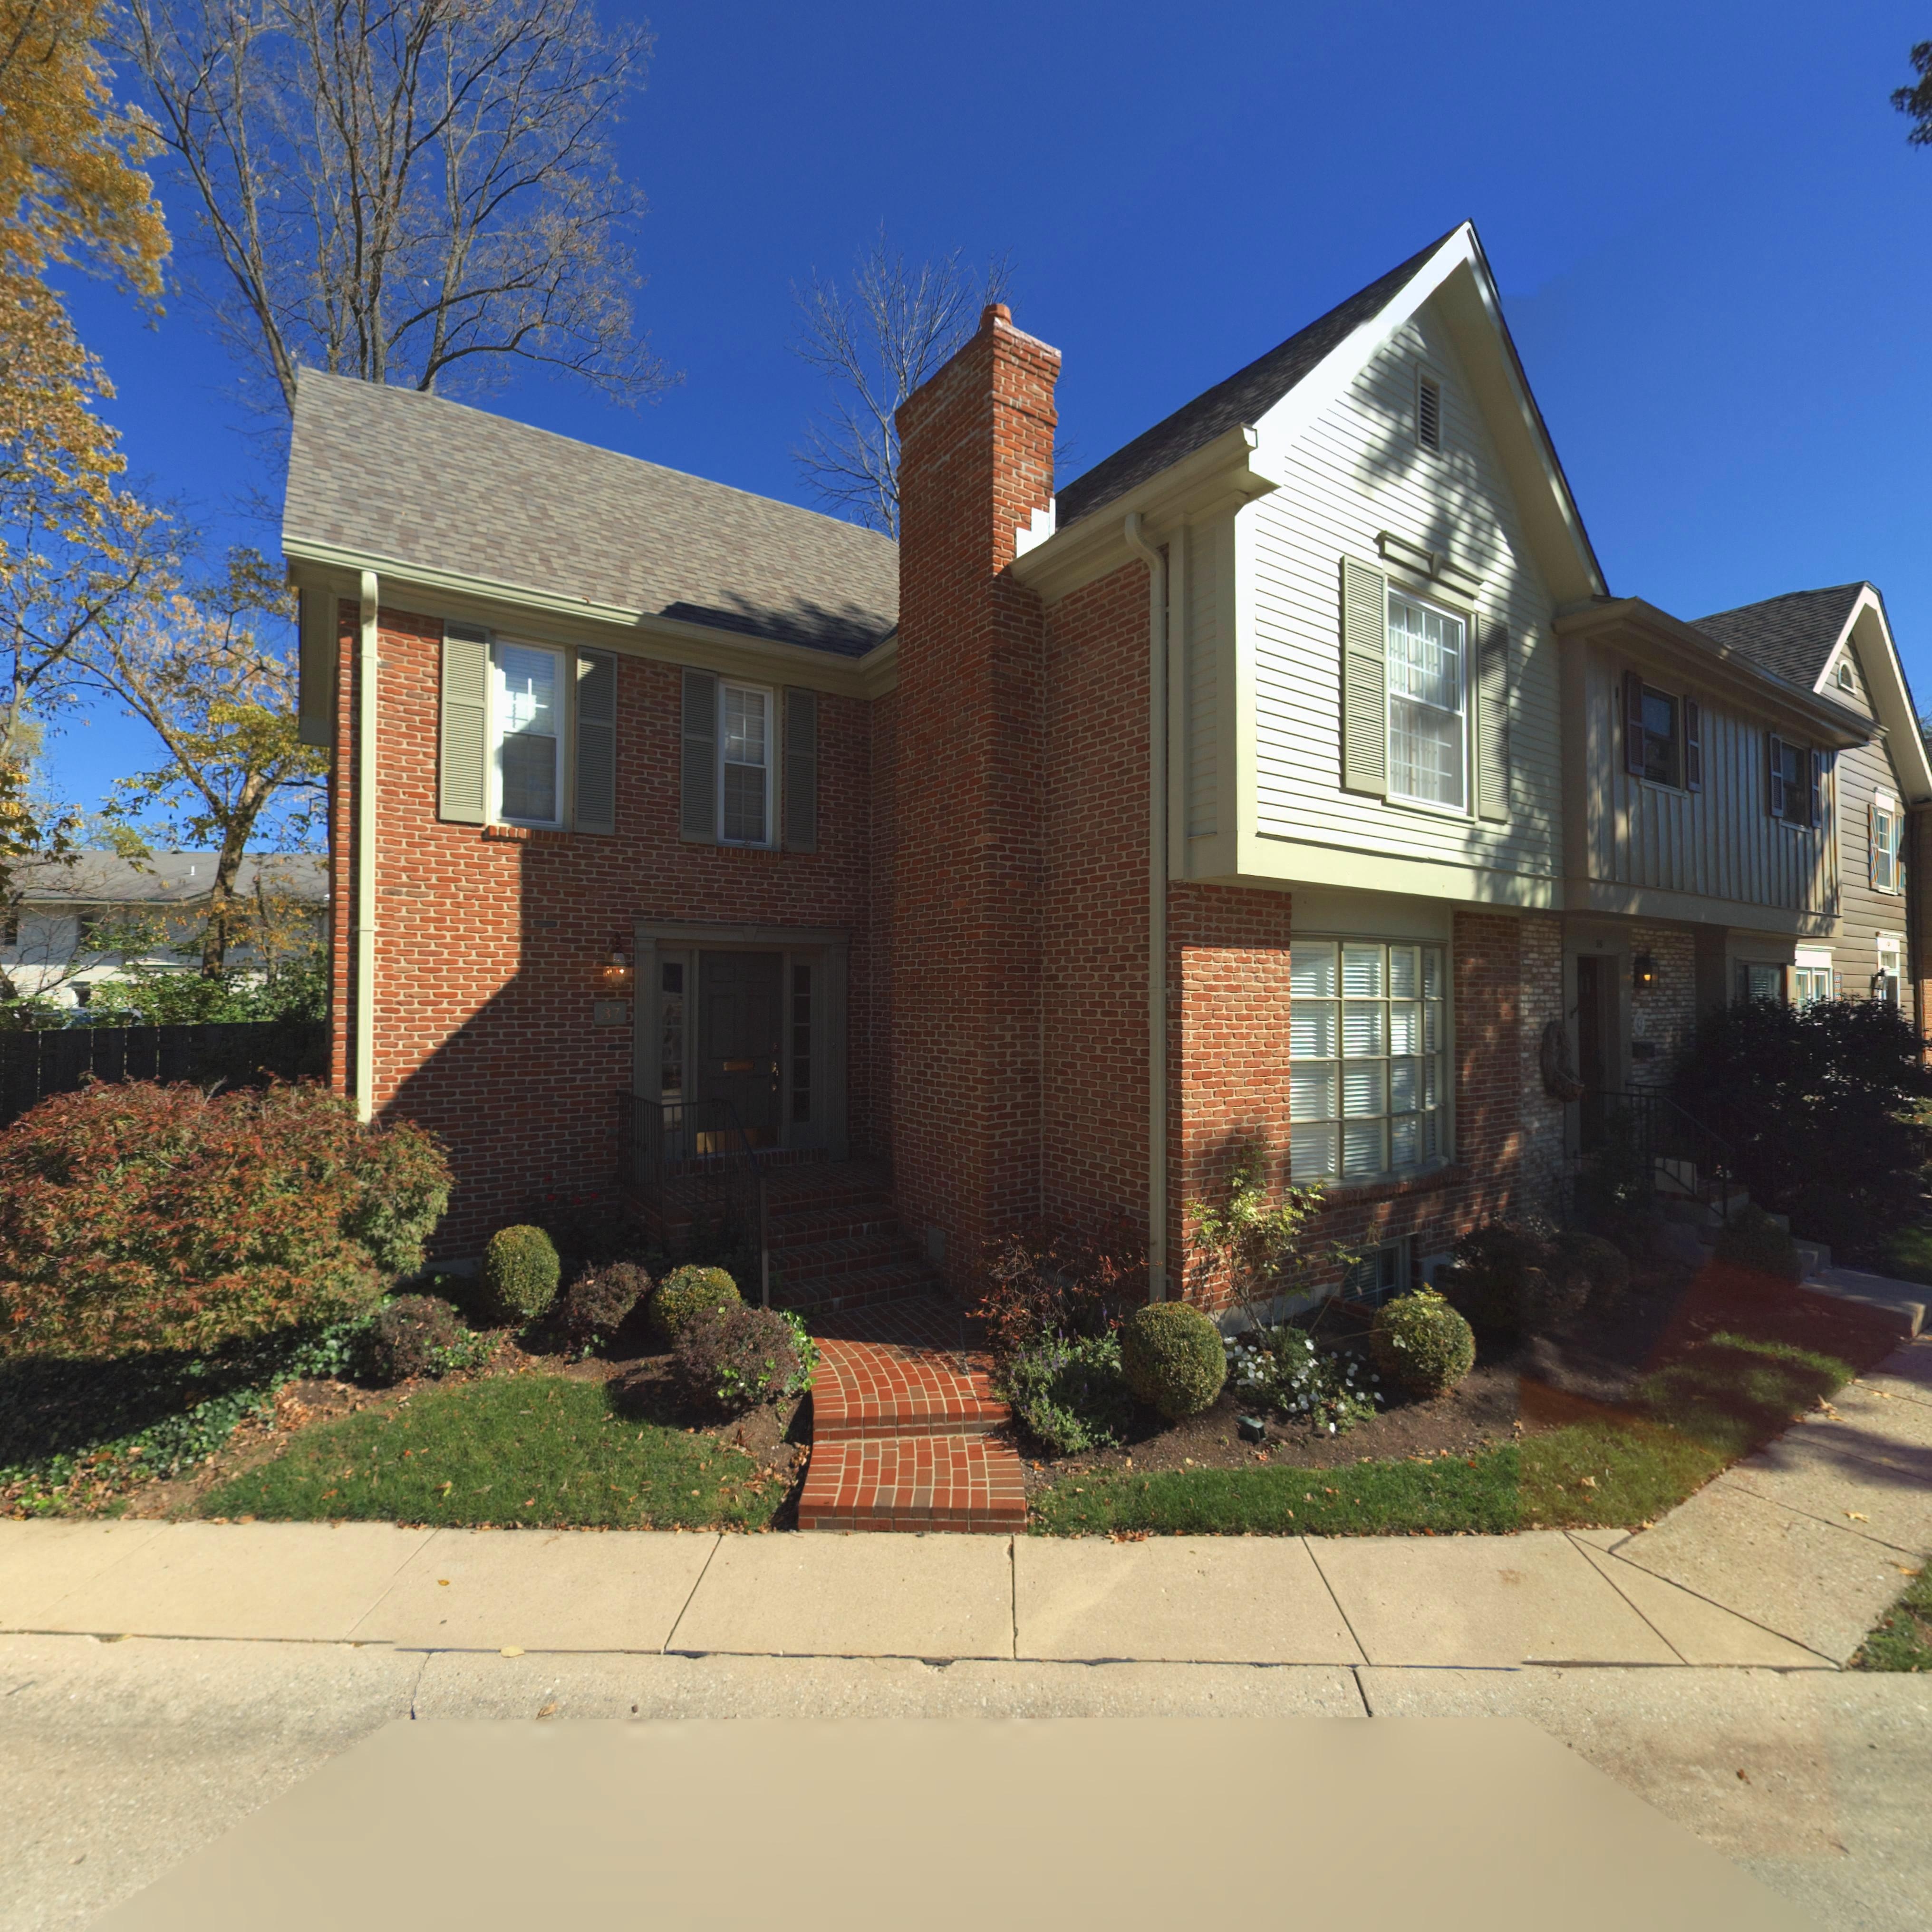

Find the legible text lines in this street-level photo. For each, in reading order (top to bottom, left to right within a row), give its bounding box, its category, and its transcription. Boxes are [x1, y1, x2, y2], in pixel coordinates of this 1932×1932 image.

[1594, 939, 1604, 949] StreetNumber: *5
[601, 1007, 621, 1021] StreetNumber: 37